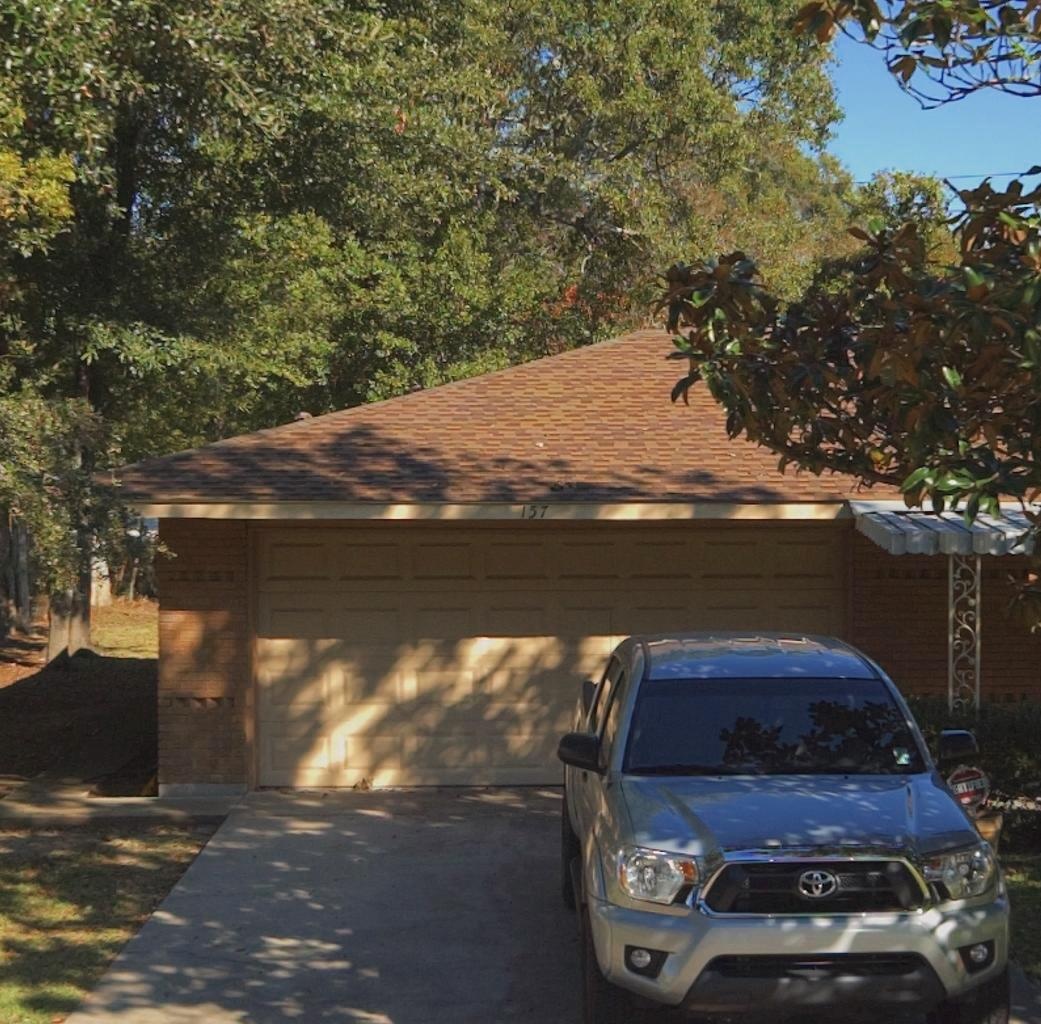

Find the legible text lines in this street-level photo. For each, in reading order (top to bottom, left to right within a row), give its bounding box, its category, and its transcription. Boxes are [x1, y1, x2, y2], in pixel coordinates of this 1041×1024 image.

[520, 504, 551, 519] StreetNumber: 157